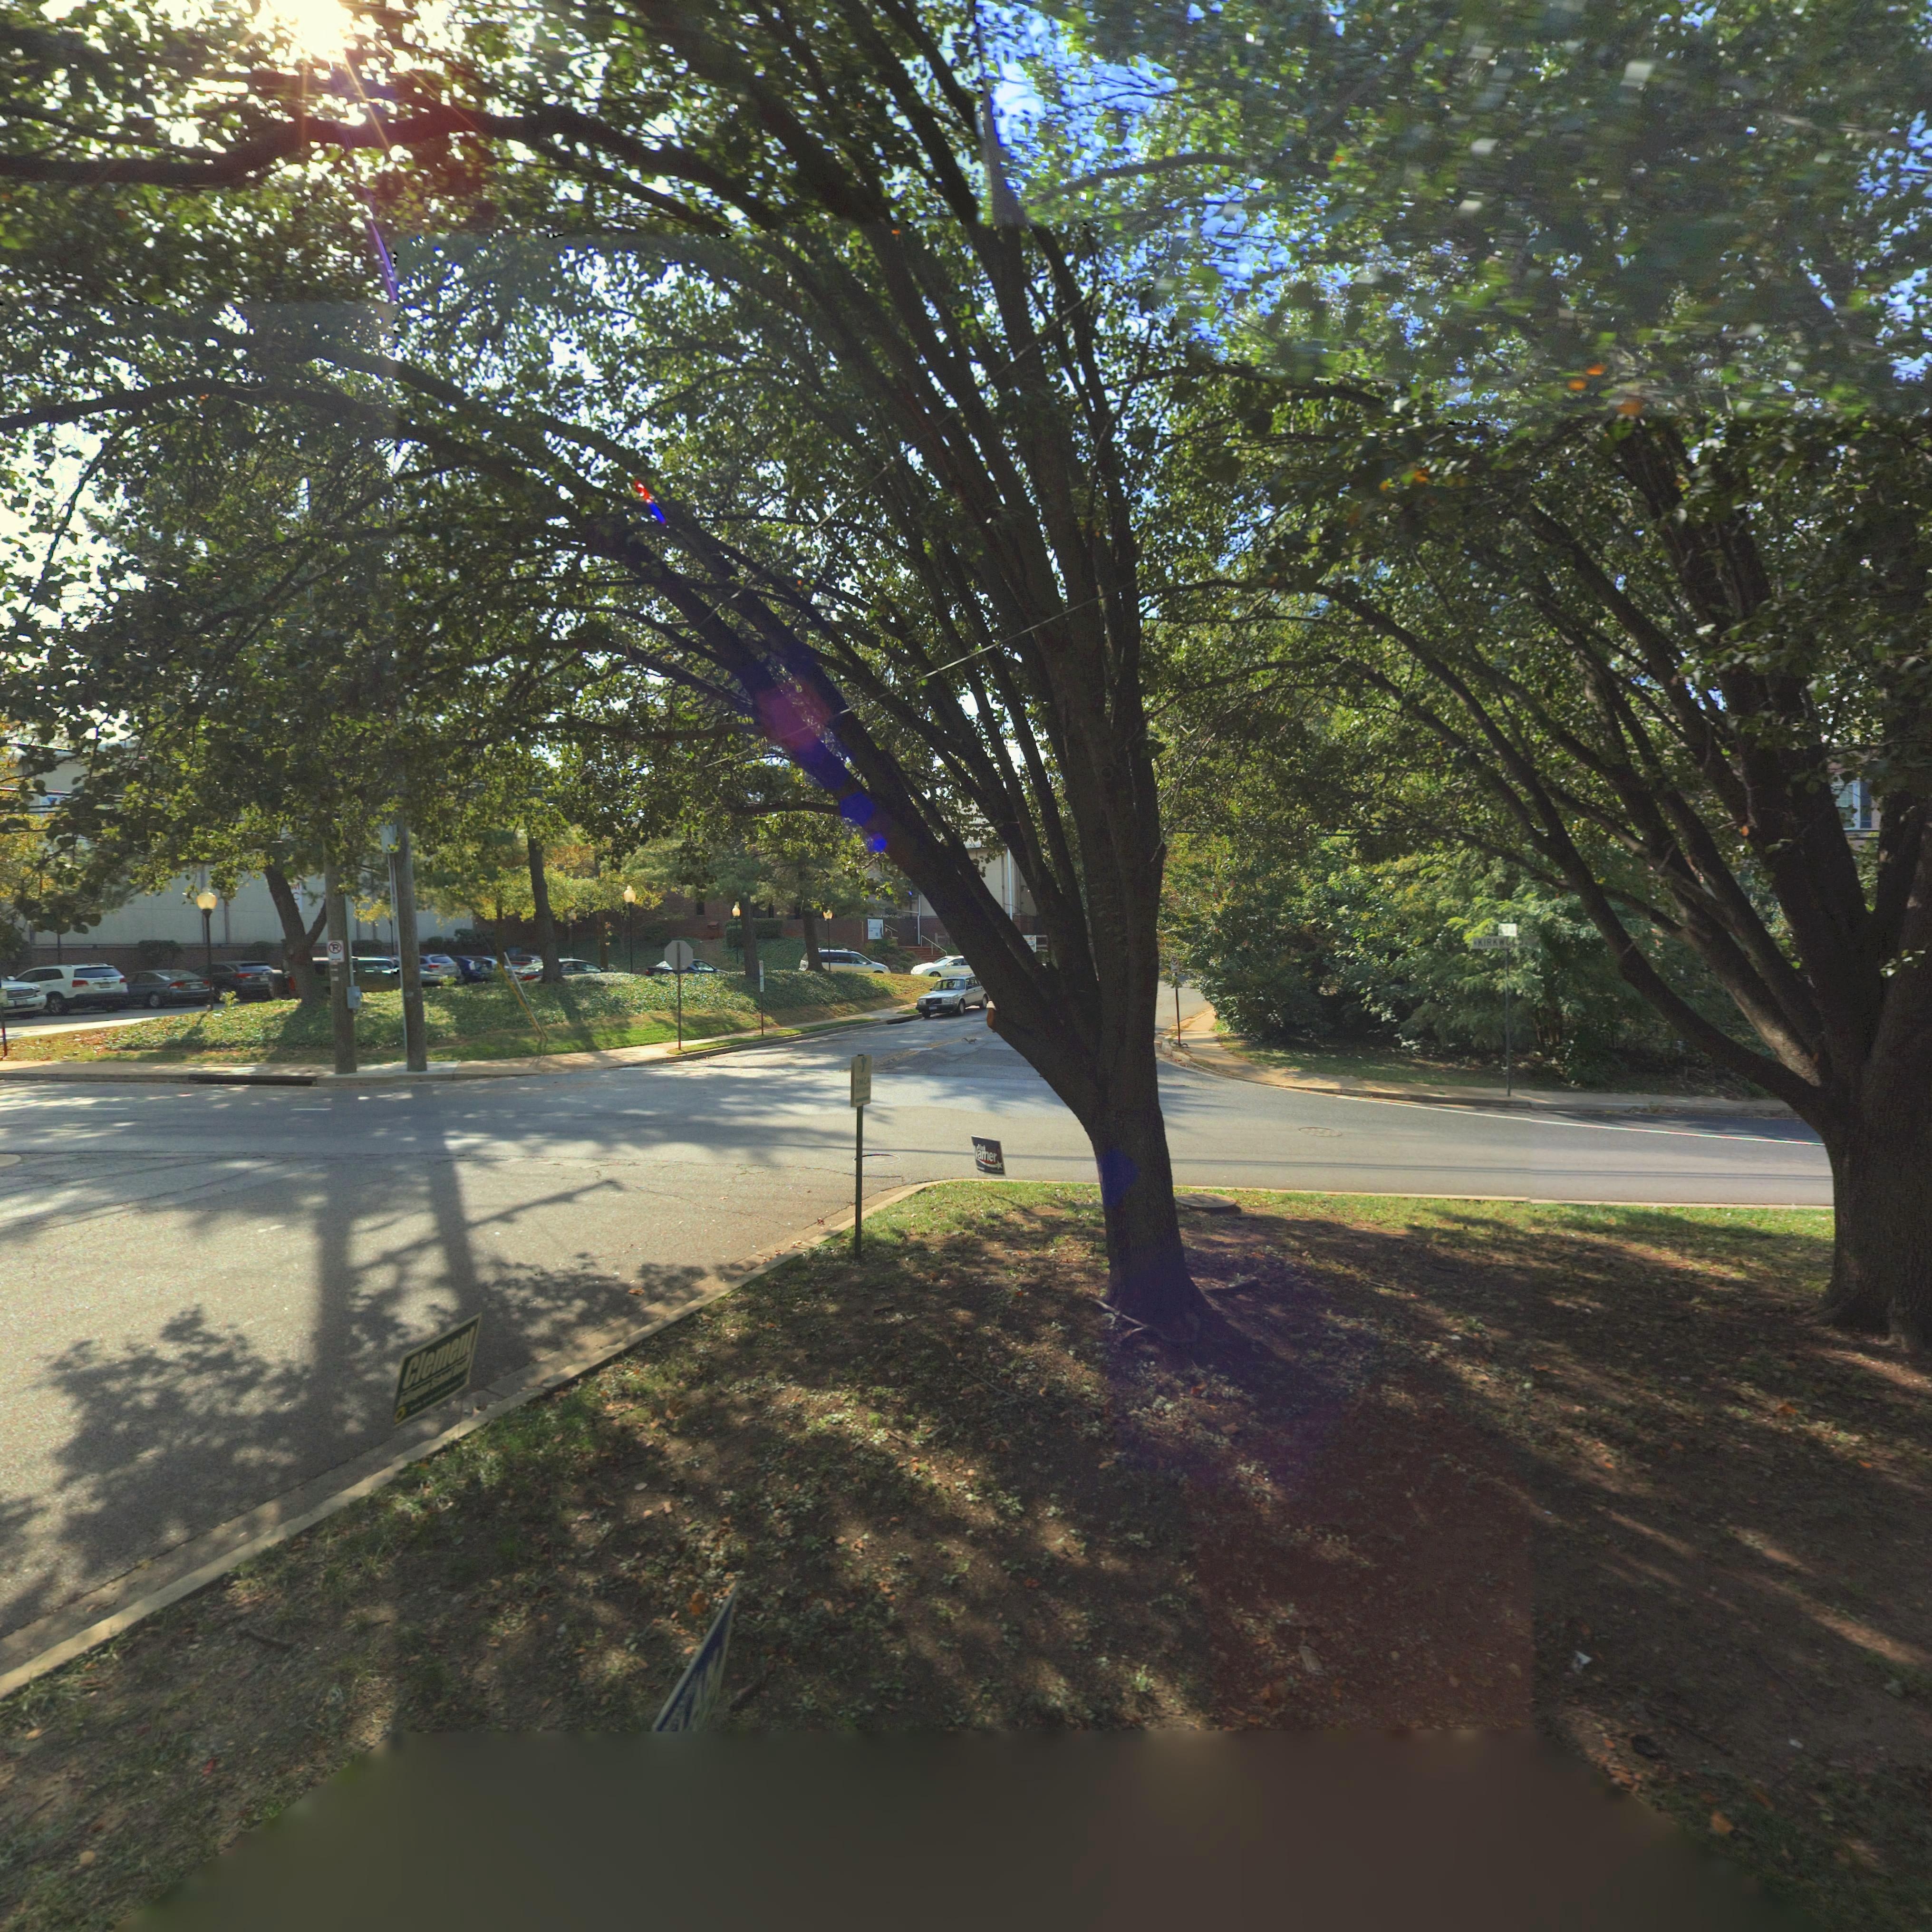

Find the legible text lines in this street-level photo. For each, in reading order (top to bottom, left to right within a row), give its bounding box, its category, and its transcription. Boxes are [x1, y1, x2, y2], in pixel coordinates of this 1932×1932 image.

[290, 881, 300, 901] BusinessName: *C
[1478, 936, 1524, 948] StreetName: KIRKW**D
[855, 1076, 871, 1087] None: YMCA
[977, 1149, 997, 1163] None: arner
[401, 1324, 476, 1391] None: Clement
[430, 1366, 454, 1391] None: School